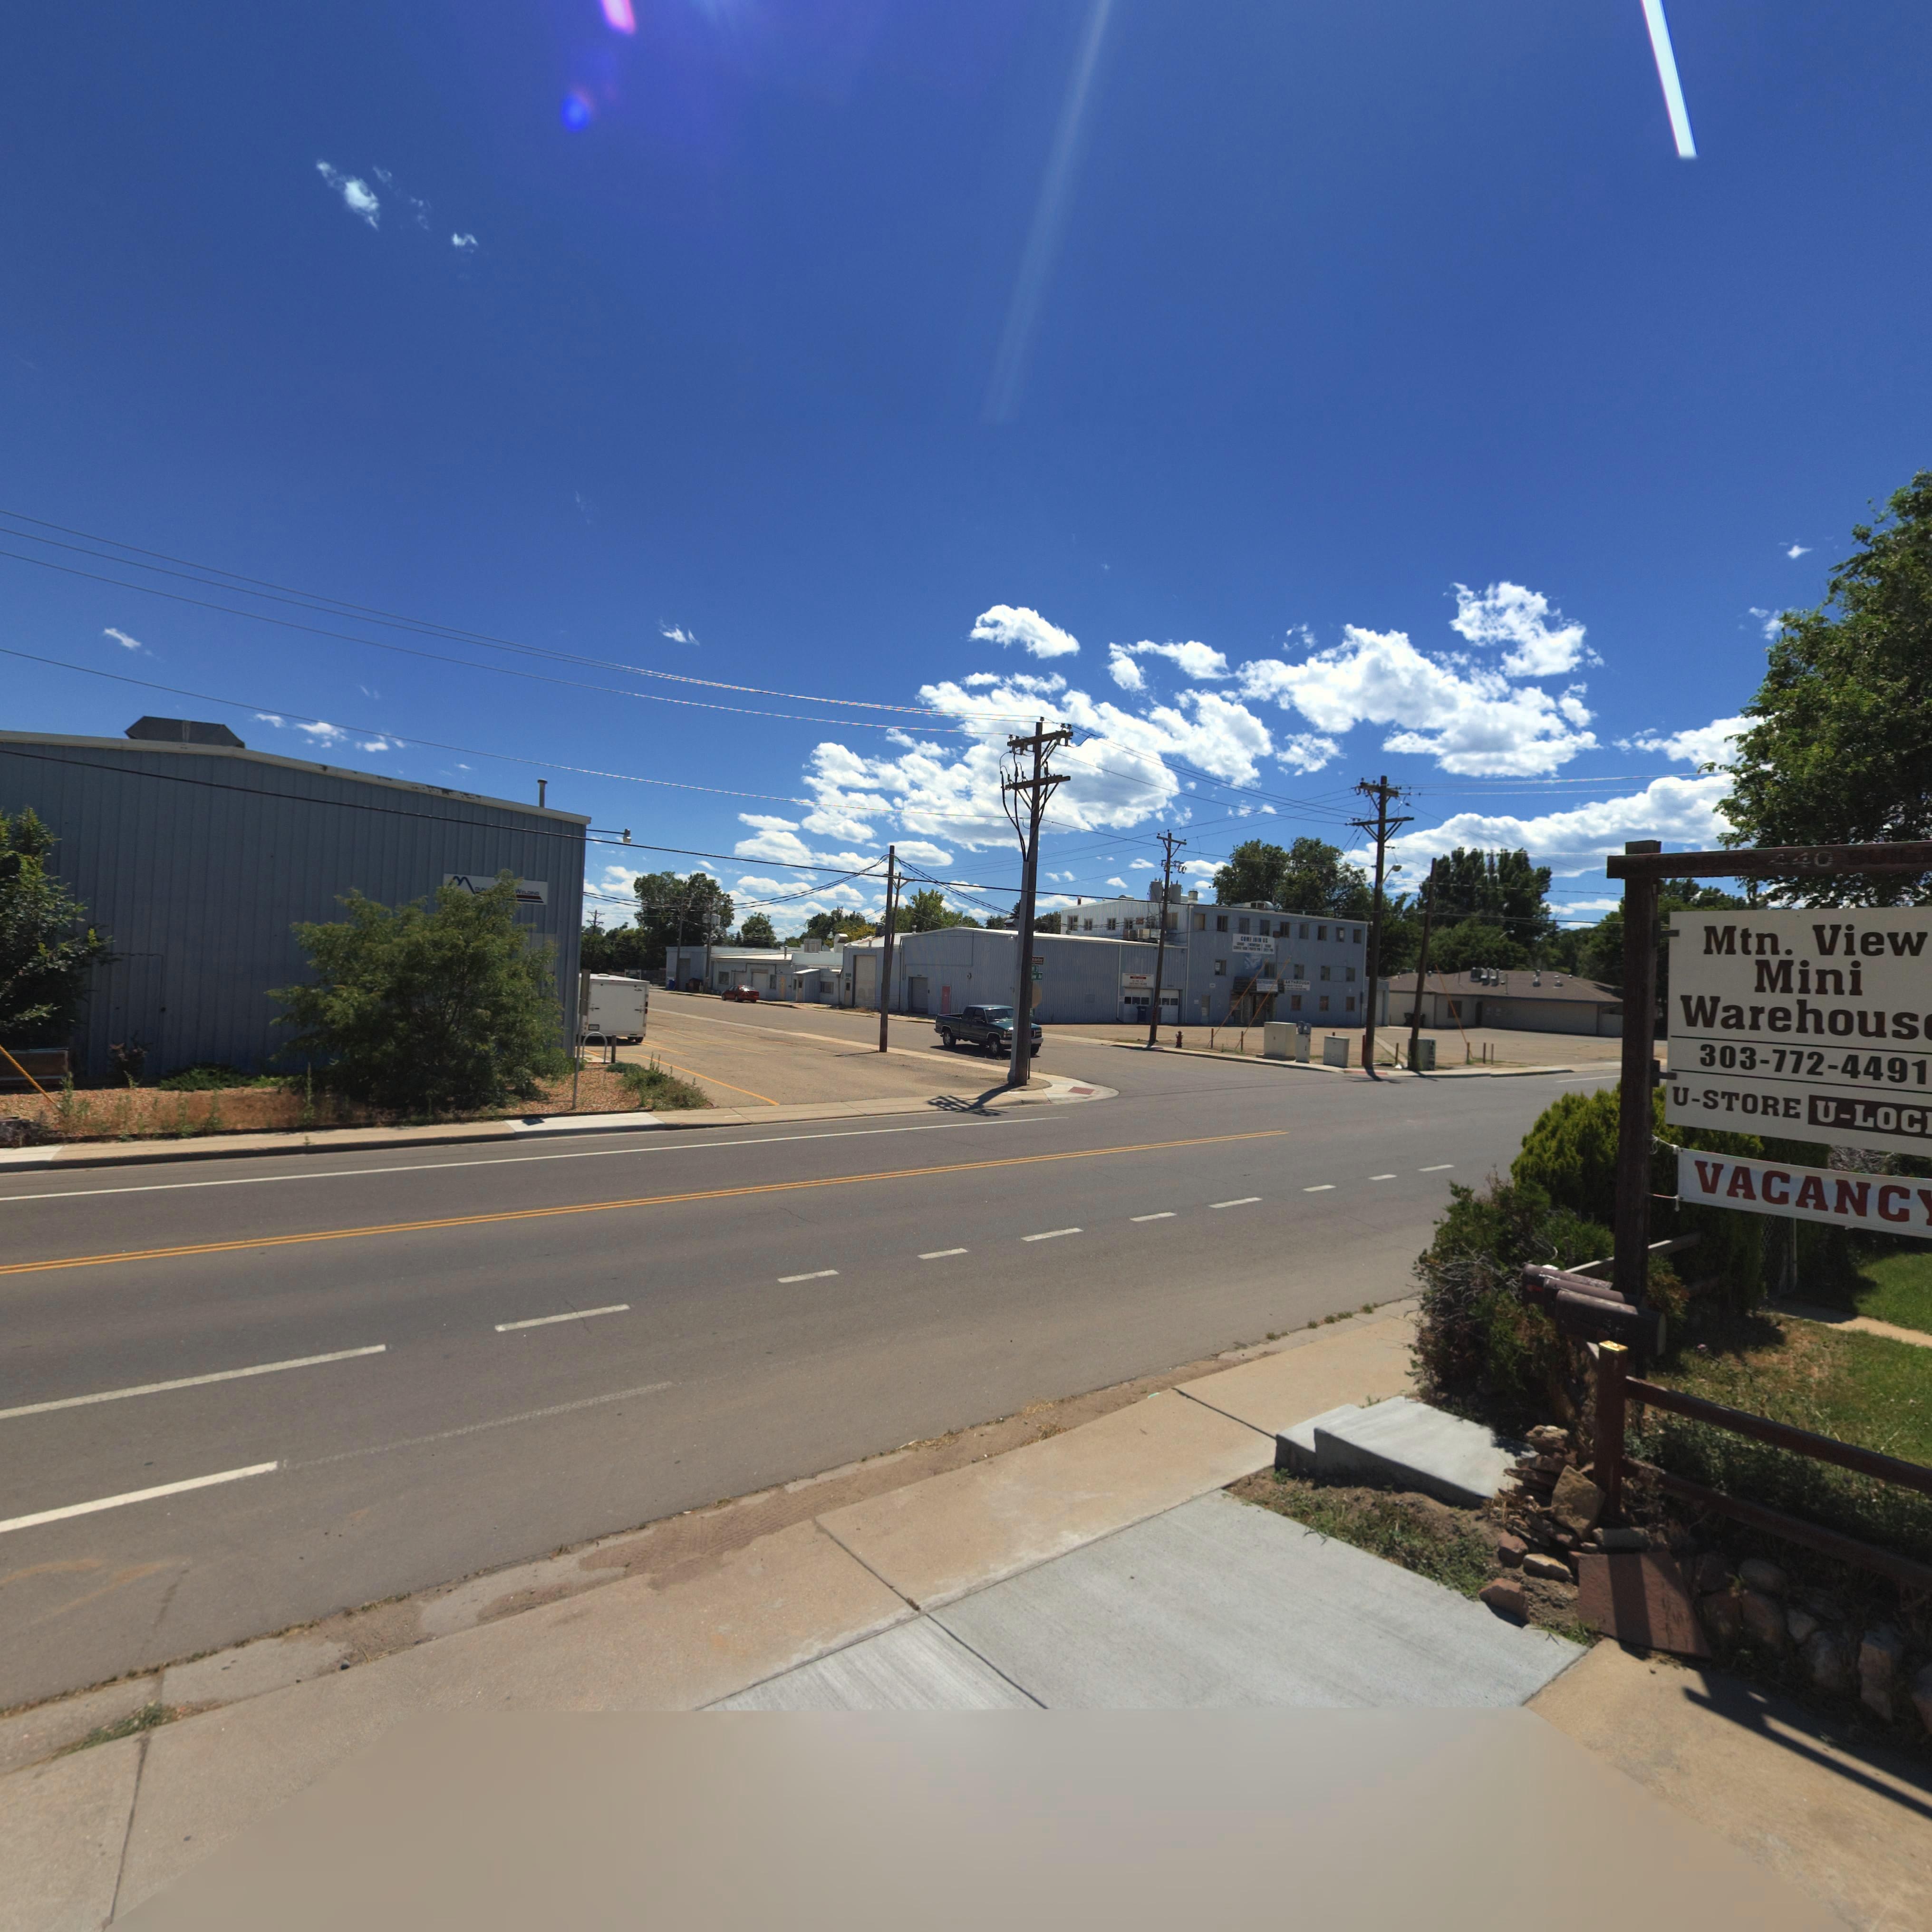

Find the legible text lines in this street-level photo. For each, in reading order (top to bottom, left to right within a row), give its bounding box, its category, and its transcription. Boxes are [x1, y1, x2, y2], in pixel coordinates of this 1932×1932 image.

[1765, 849, 1835, 870] StreetNumber: 440
[473, 886, 540, 896] BusinessName: OUN***** WELDING
[1702, 923, 1929, 957] BusinessName: Mtn. View
[1032, 973, 1042, 979] StreetName: ew A*
[1753, 957, 1863, 996] BusinessName: Mini
[1680, 994, 1920, 1040] BusinessName: Warehous